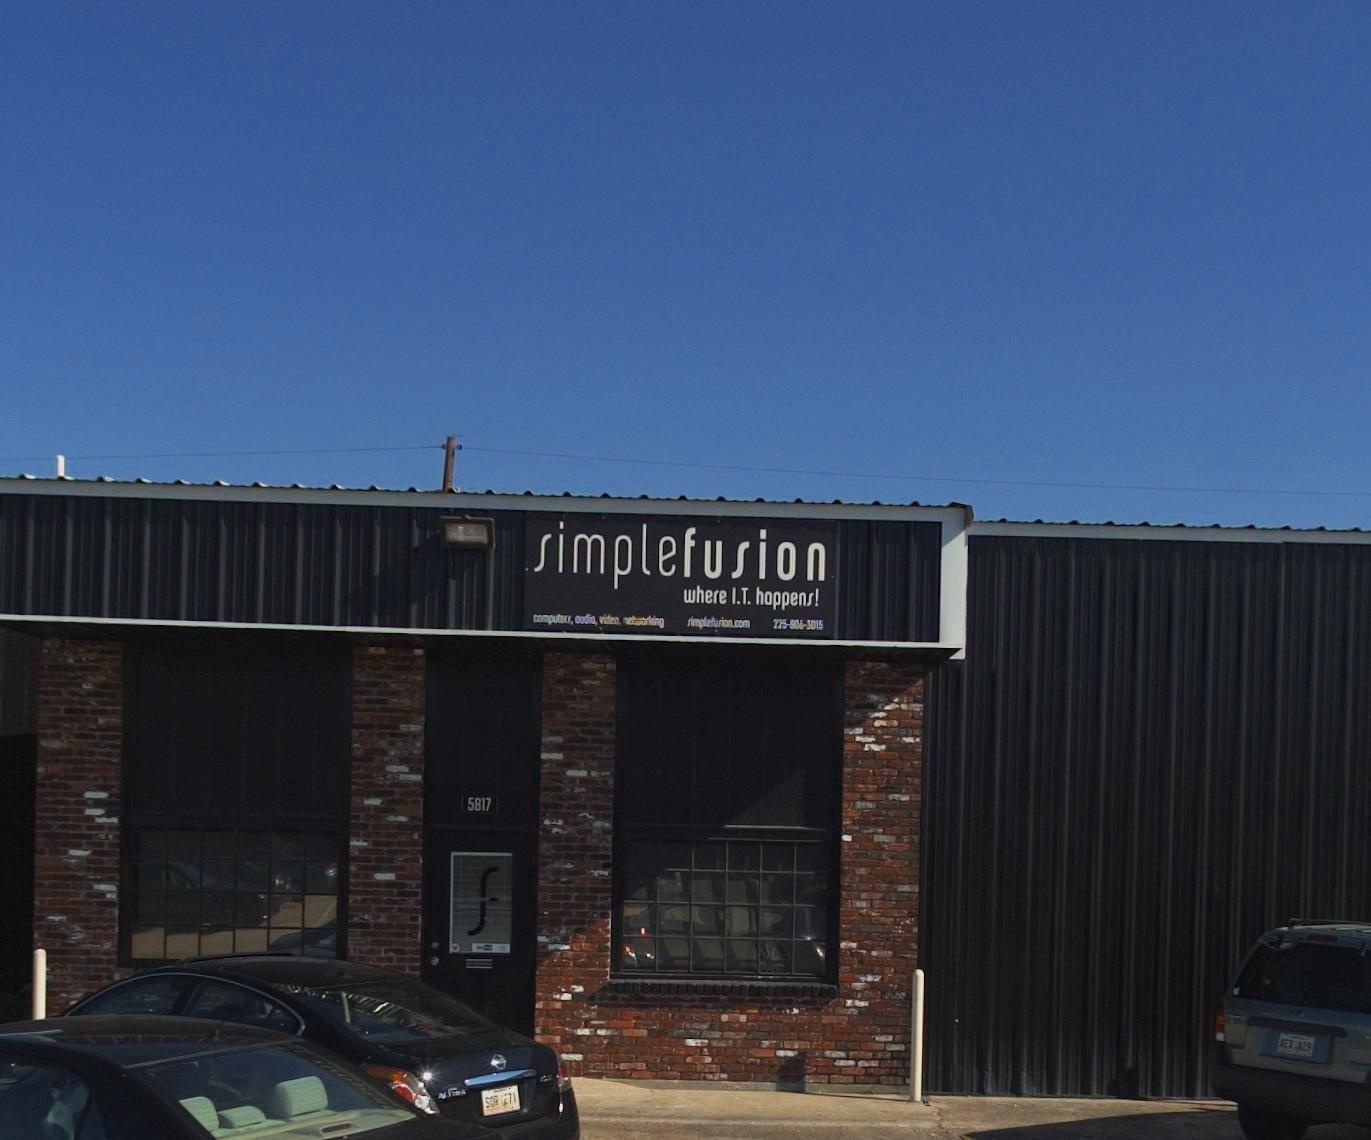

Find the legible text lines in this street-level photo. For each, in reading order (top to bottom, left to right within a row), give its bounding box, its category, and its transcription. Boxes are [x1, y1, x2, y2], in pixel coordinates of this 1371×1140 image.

[525, 518, 829, 592] BusinessName: simplefusion
[680, 582, 821, 614] None: where I.T. happens!
[530, 611, 562, 628] None: comput
[732, 617, 753, 631] None: com
[770, 615, 826, 633] None: 225*06-3015
[465, 795, 495, 814] StreetNumber: 5817
[463, 863, 503, 940] None: f
[483, 1088, 519, 1112] None: S** *7*